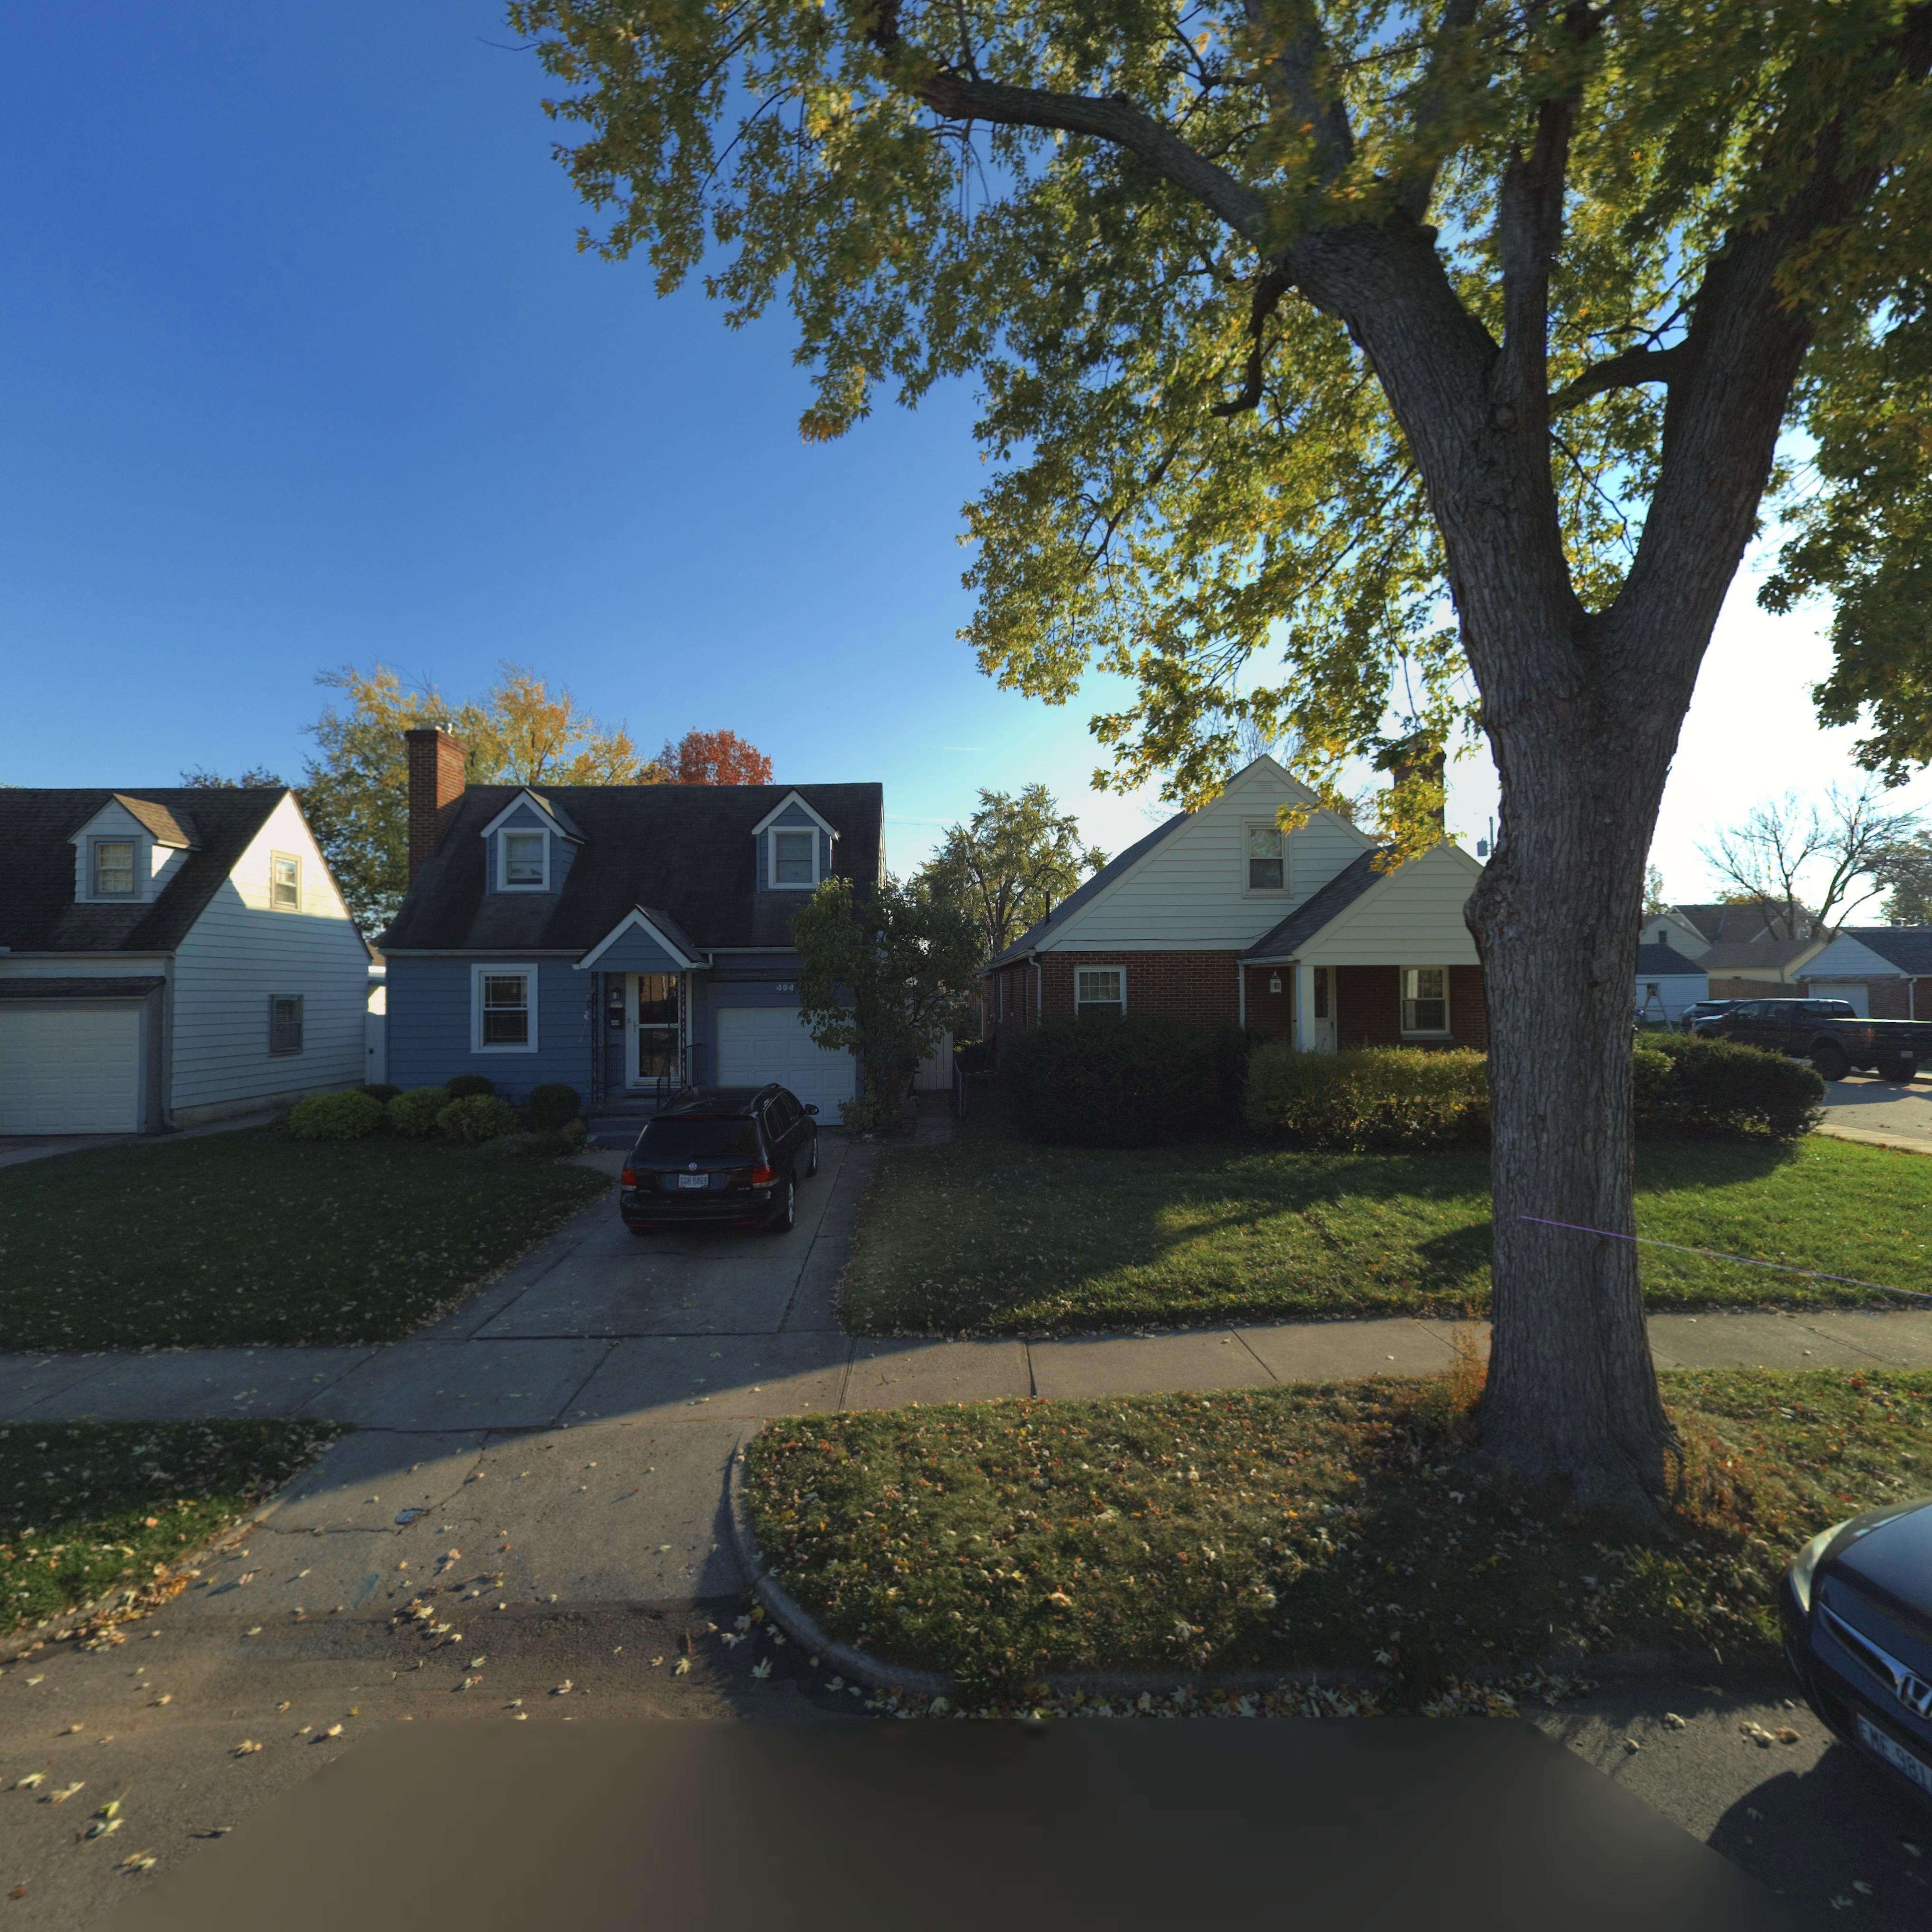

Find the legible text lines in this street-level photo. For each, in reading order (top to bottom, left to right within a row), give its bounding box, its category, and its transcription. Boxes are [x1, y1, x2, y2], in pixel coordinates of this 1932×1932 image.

[775, 983, 794, 992] StreetNumber: 404